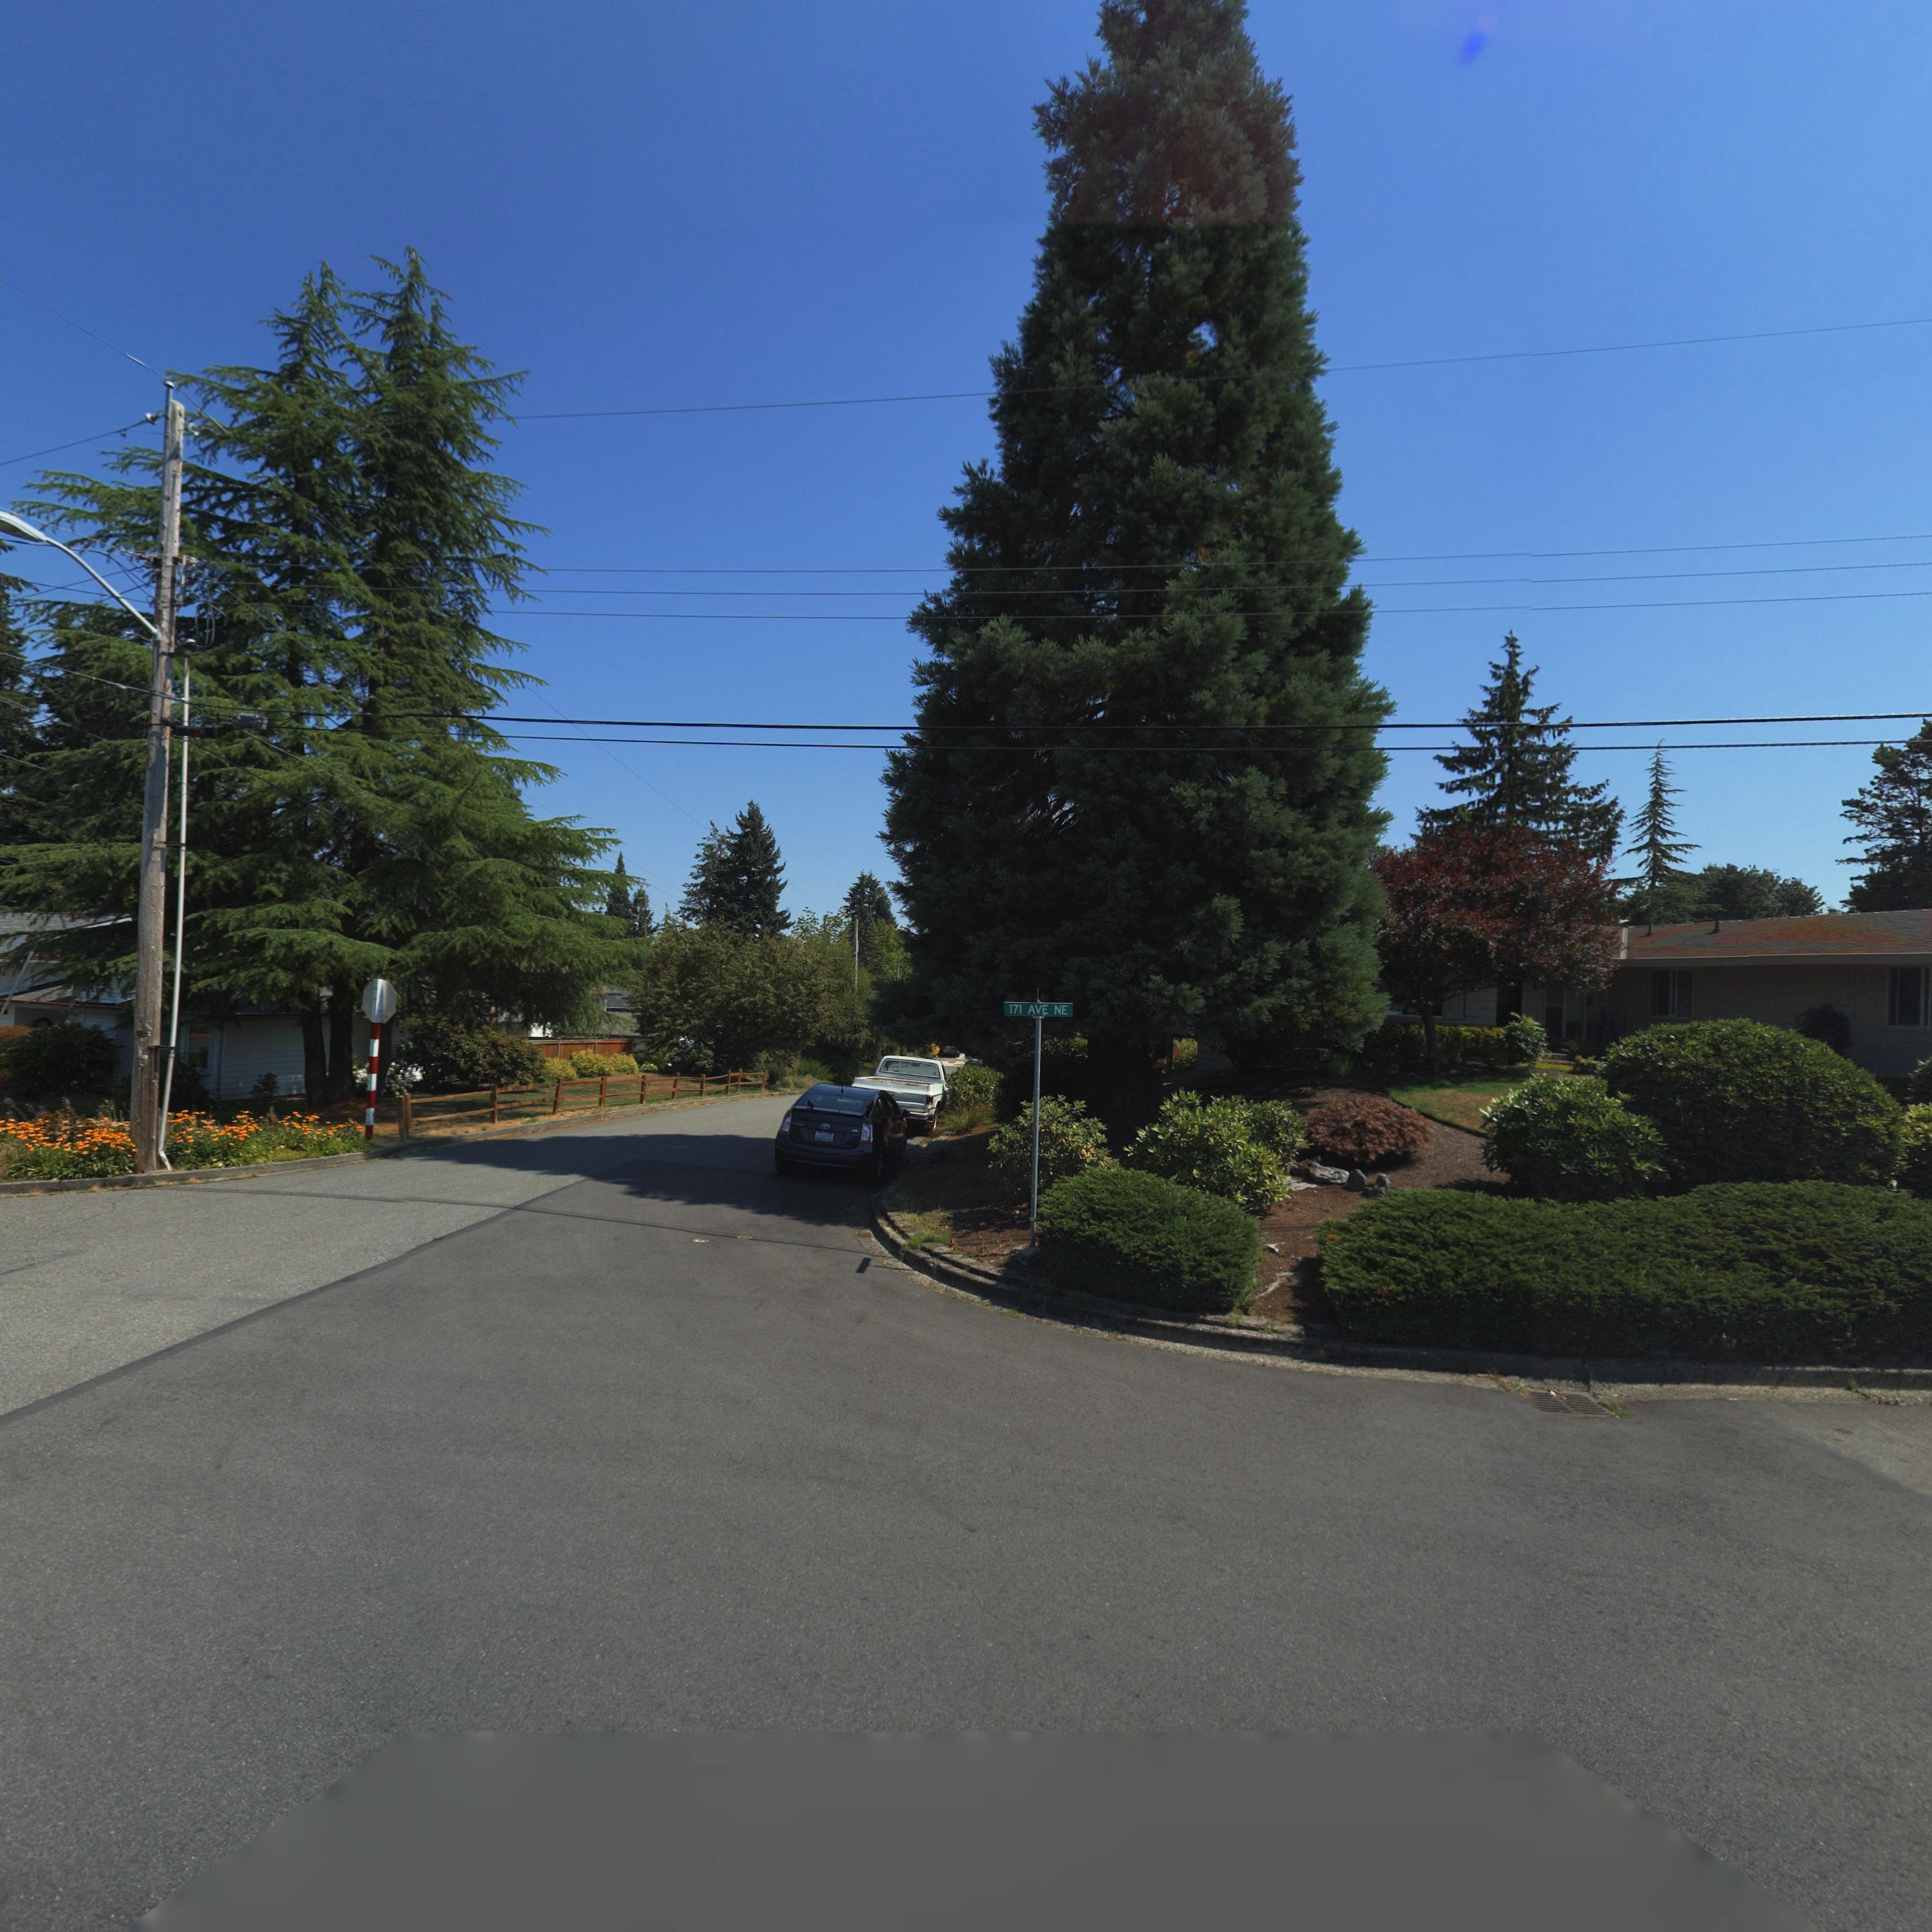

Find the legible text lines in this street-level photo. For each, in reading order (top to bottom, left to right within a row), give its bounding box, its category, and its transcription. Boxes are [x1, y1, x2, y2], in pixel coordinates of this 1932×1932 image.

[1010, 1005, 1067, 1015] StreetName: 171 AVE NE